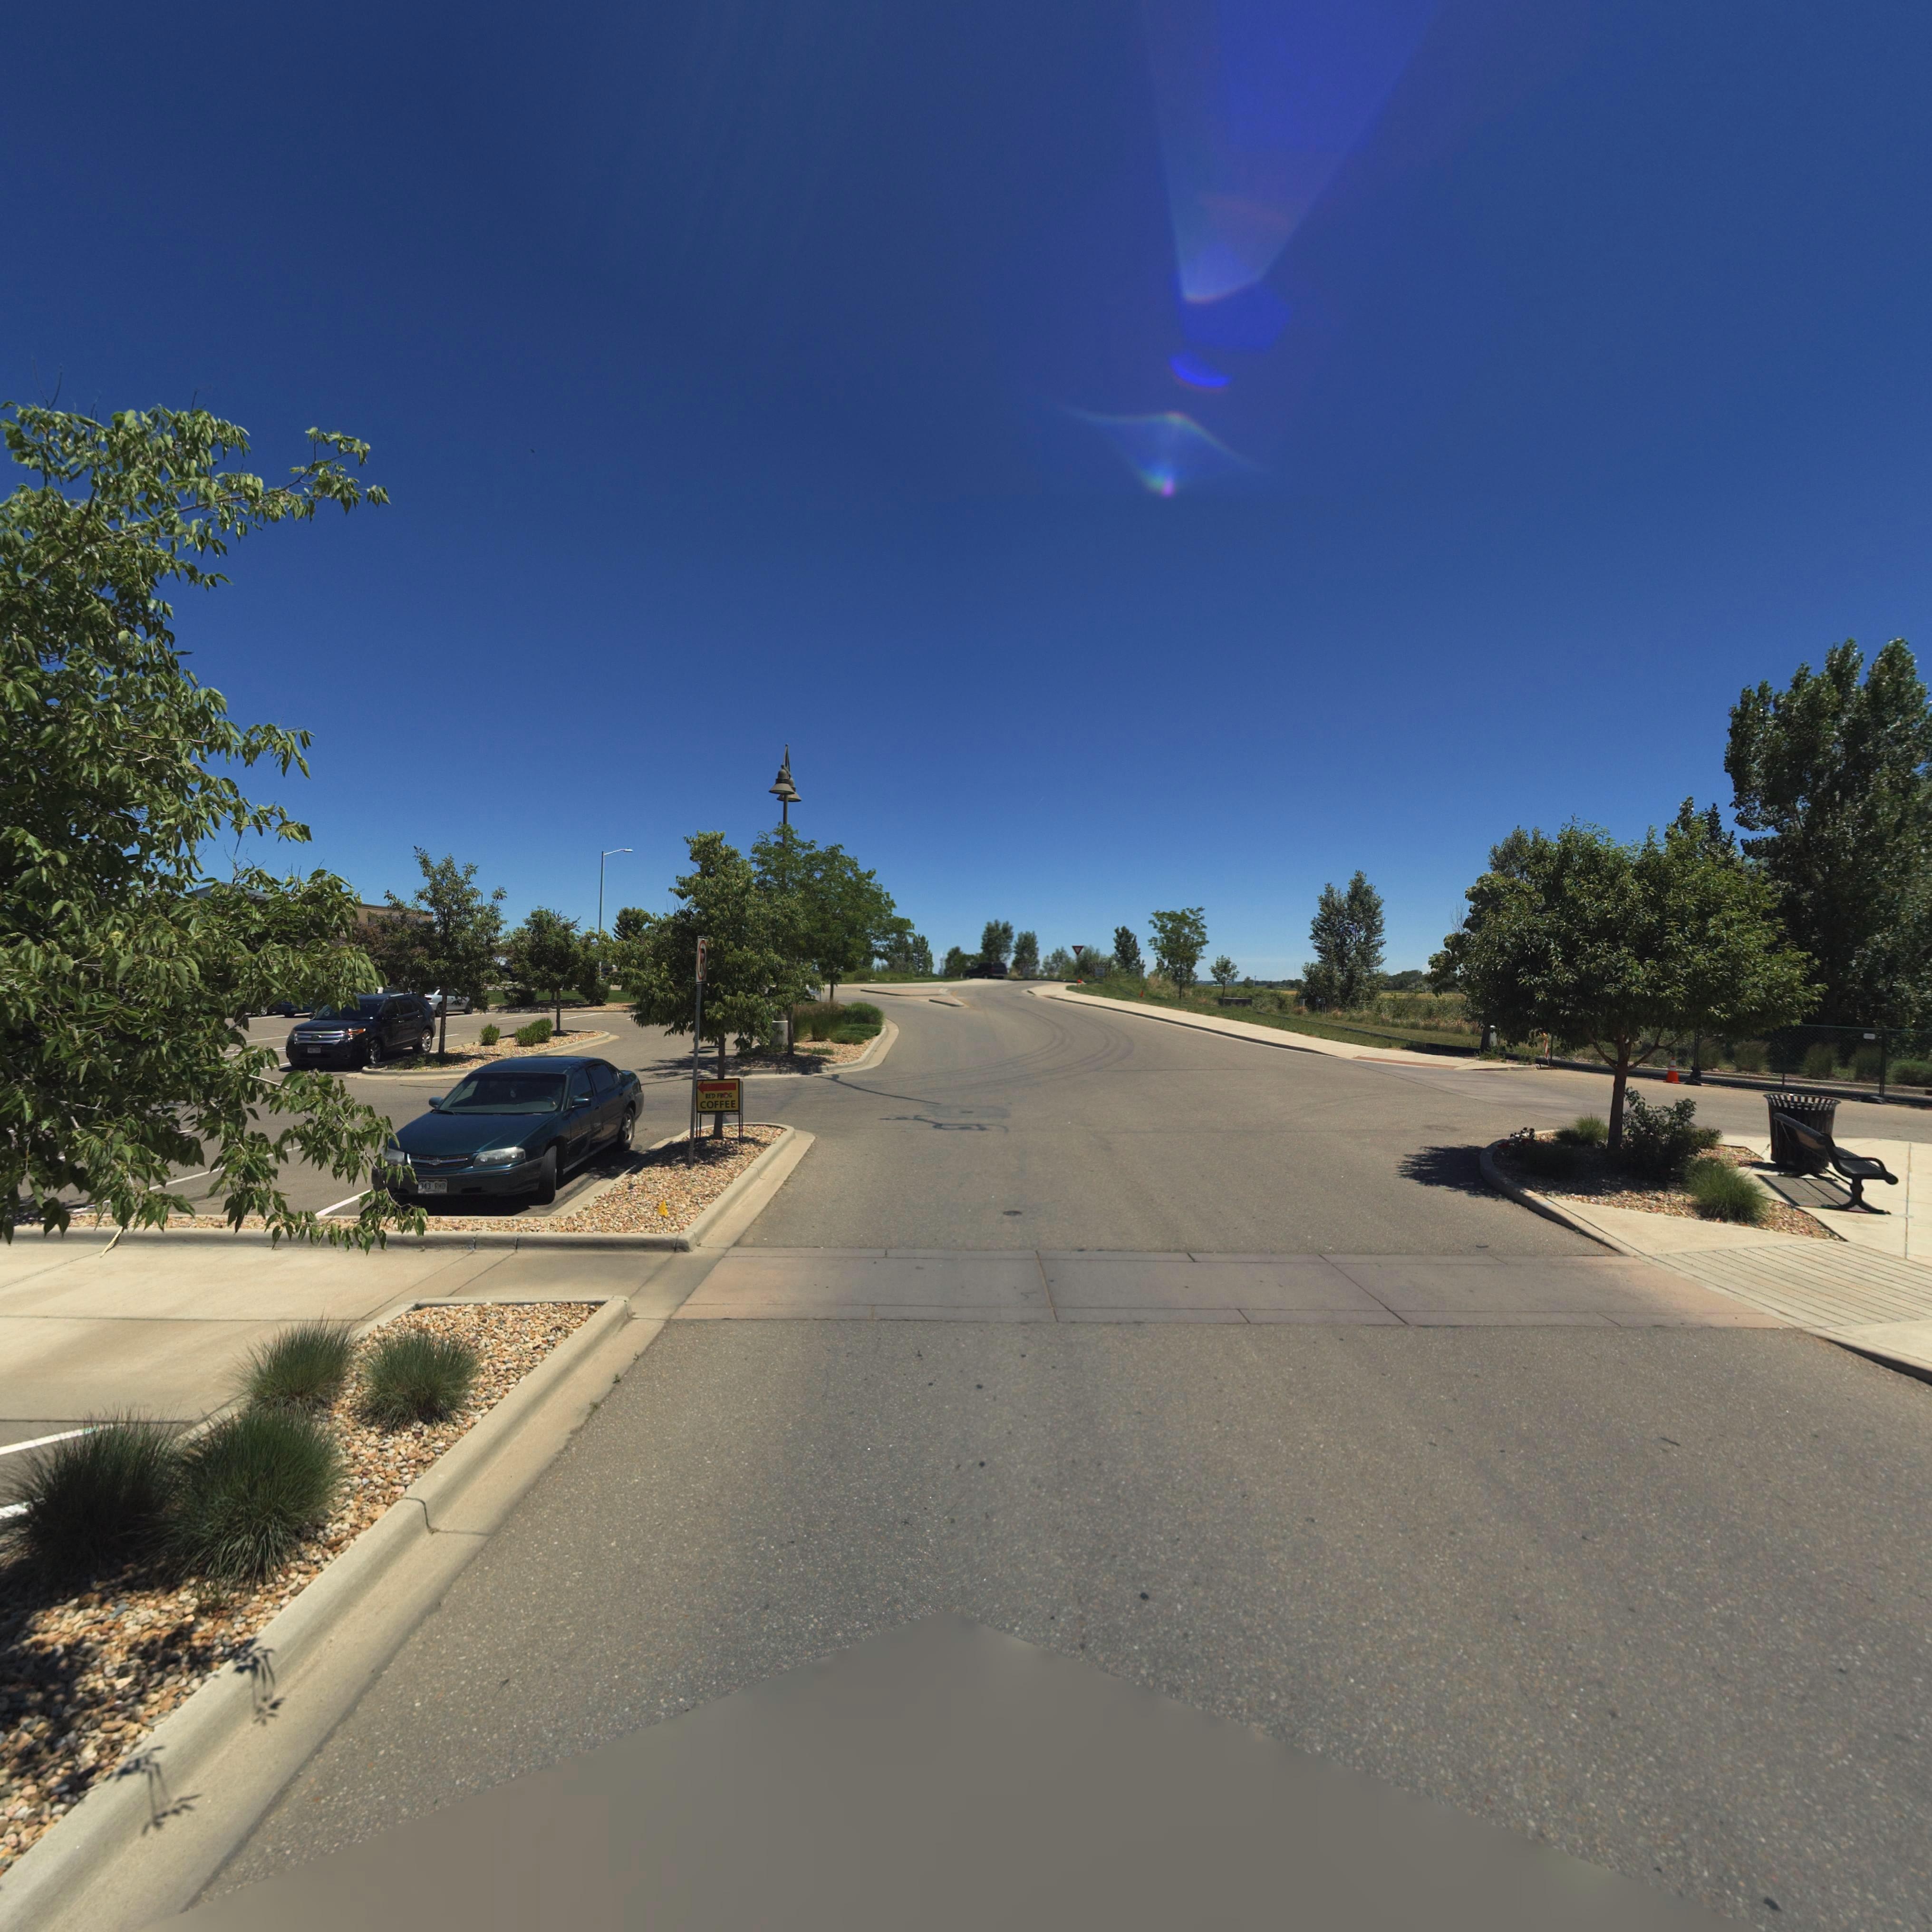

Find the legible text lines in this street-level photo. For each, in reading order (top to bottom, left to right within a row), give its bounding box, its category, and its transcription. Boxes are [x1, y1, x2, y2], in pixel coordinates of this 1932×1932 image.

[705, 1092, 732, 1099] BusinessName: RED FR*G
[700, 1100, 736, 1109] BusinessName: COFFEE